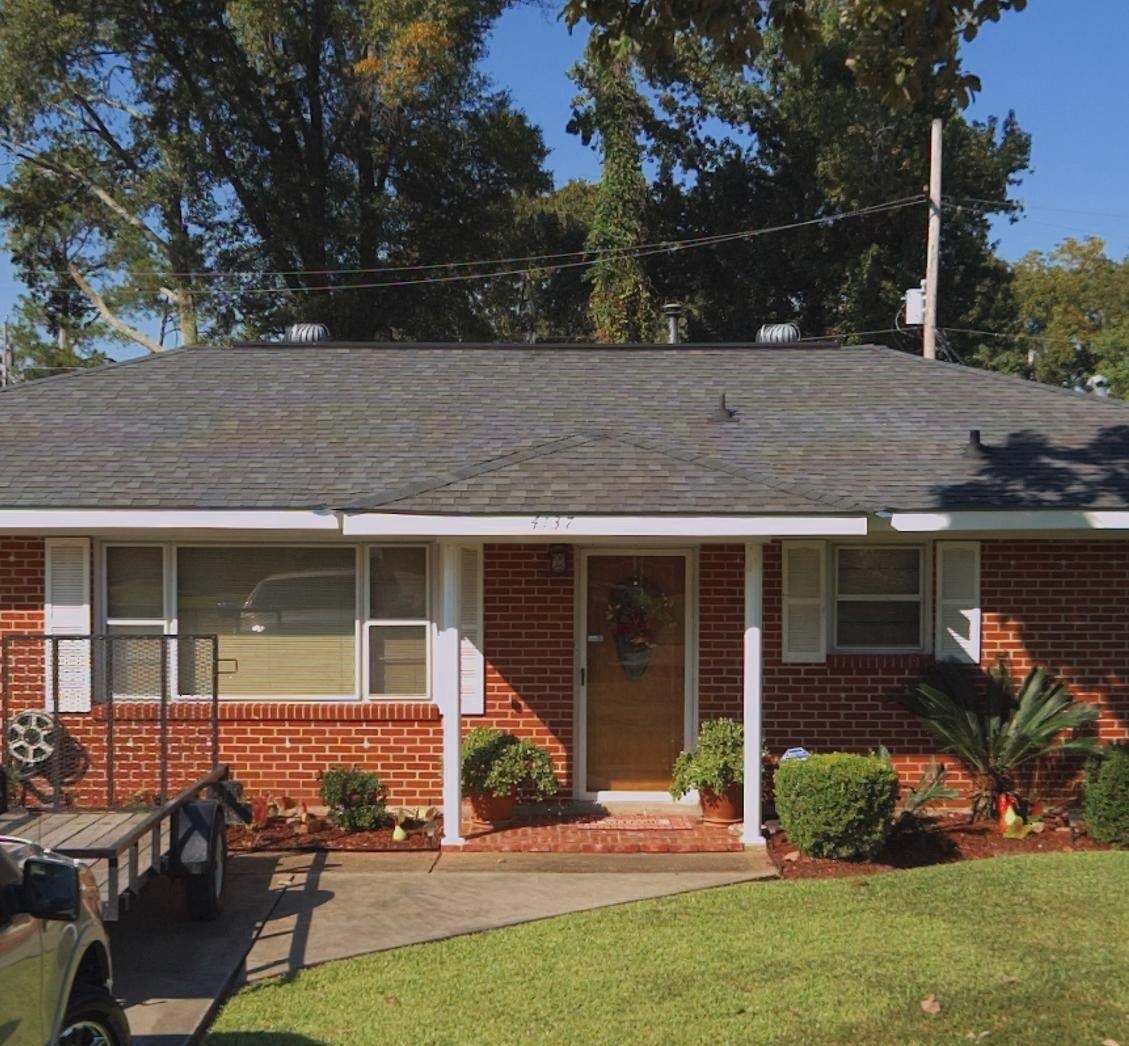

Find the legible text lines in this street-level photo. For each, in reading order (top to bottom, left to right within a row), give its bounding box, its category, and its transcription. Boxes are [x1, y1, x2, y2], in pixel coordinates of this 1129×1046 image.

[527, 514, 577, 531] StreetNumber: 4137